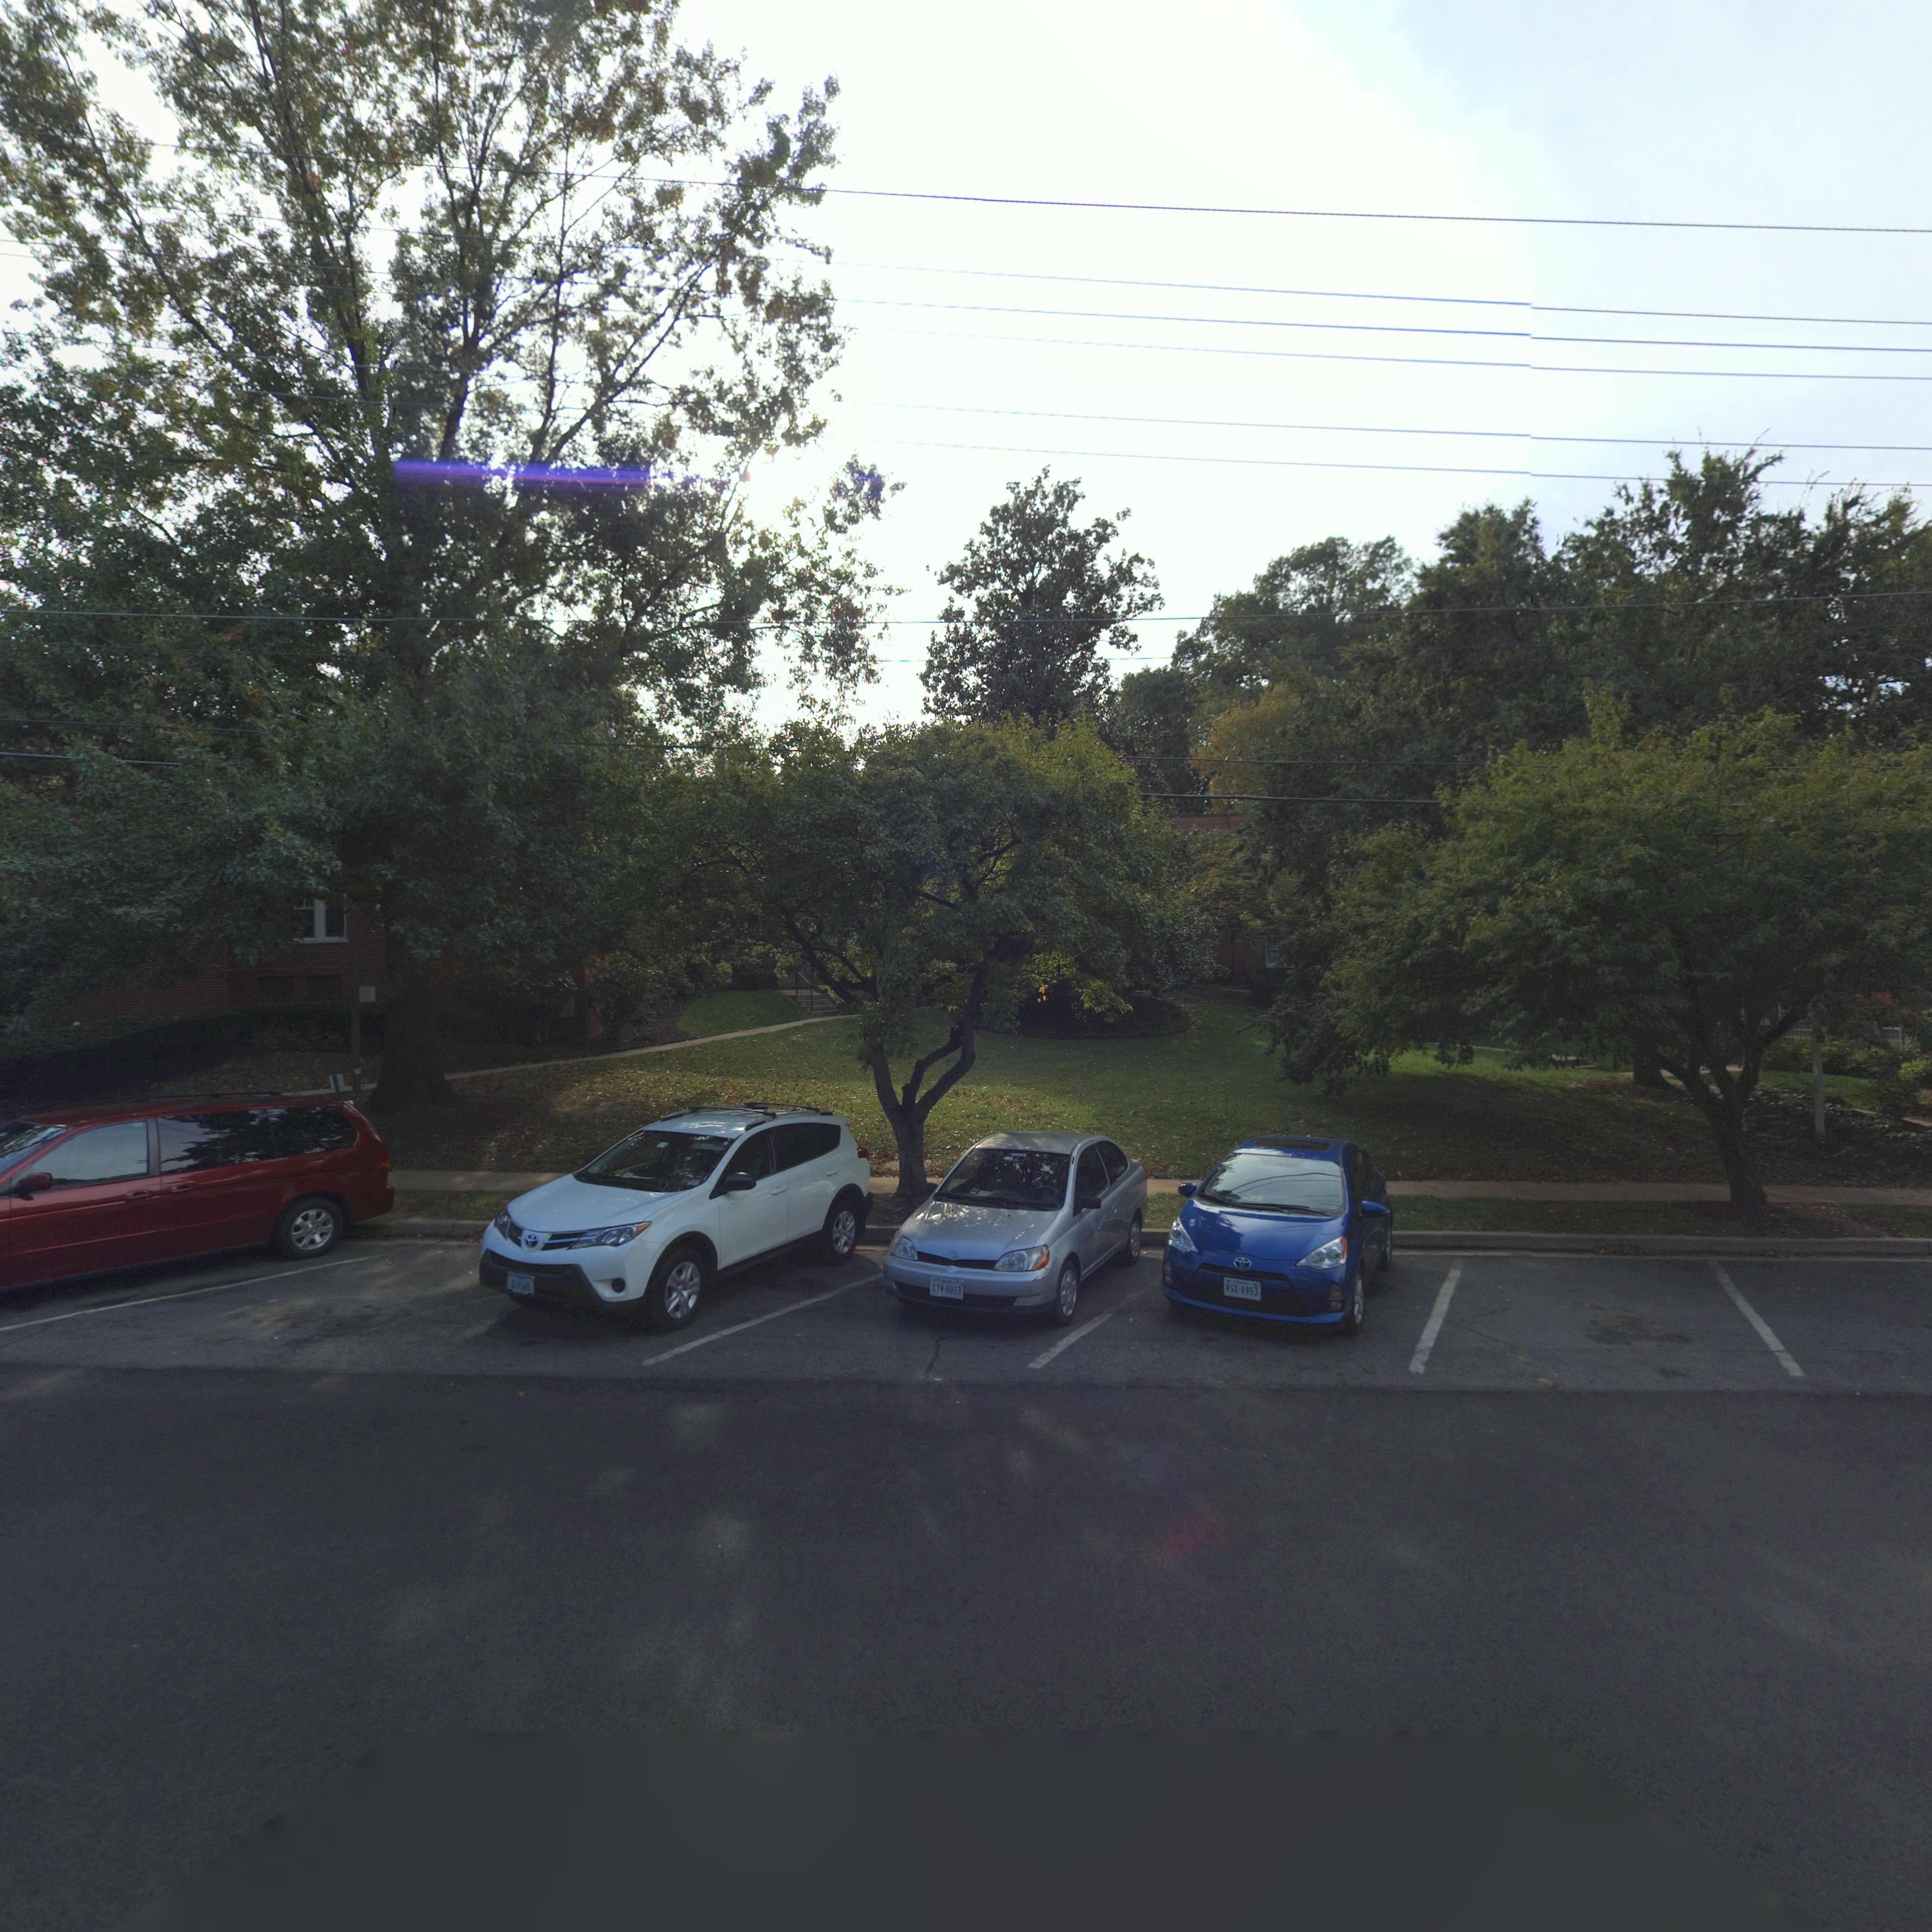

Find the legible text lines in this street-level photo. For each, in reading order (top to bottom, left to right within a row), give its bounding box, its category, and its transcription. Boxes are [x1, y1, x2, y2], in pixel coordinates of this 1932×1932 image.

[930, 1282, 962, 1296] None: XYW*6053
[1226, 1282, 1258, 1296] None: WSX*1953